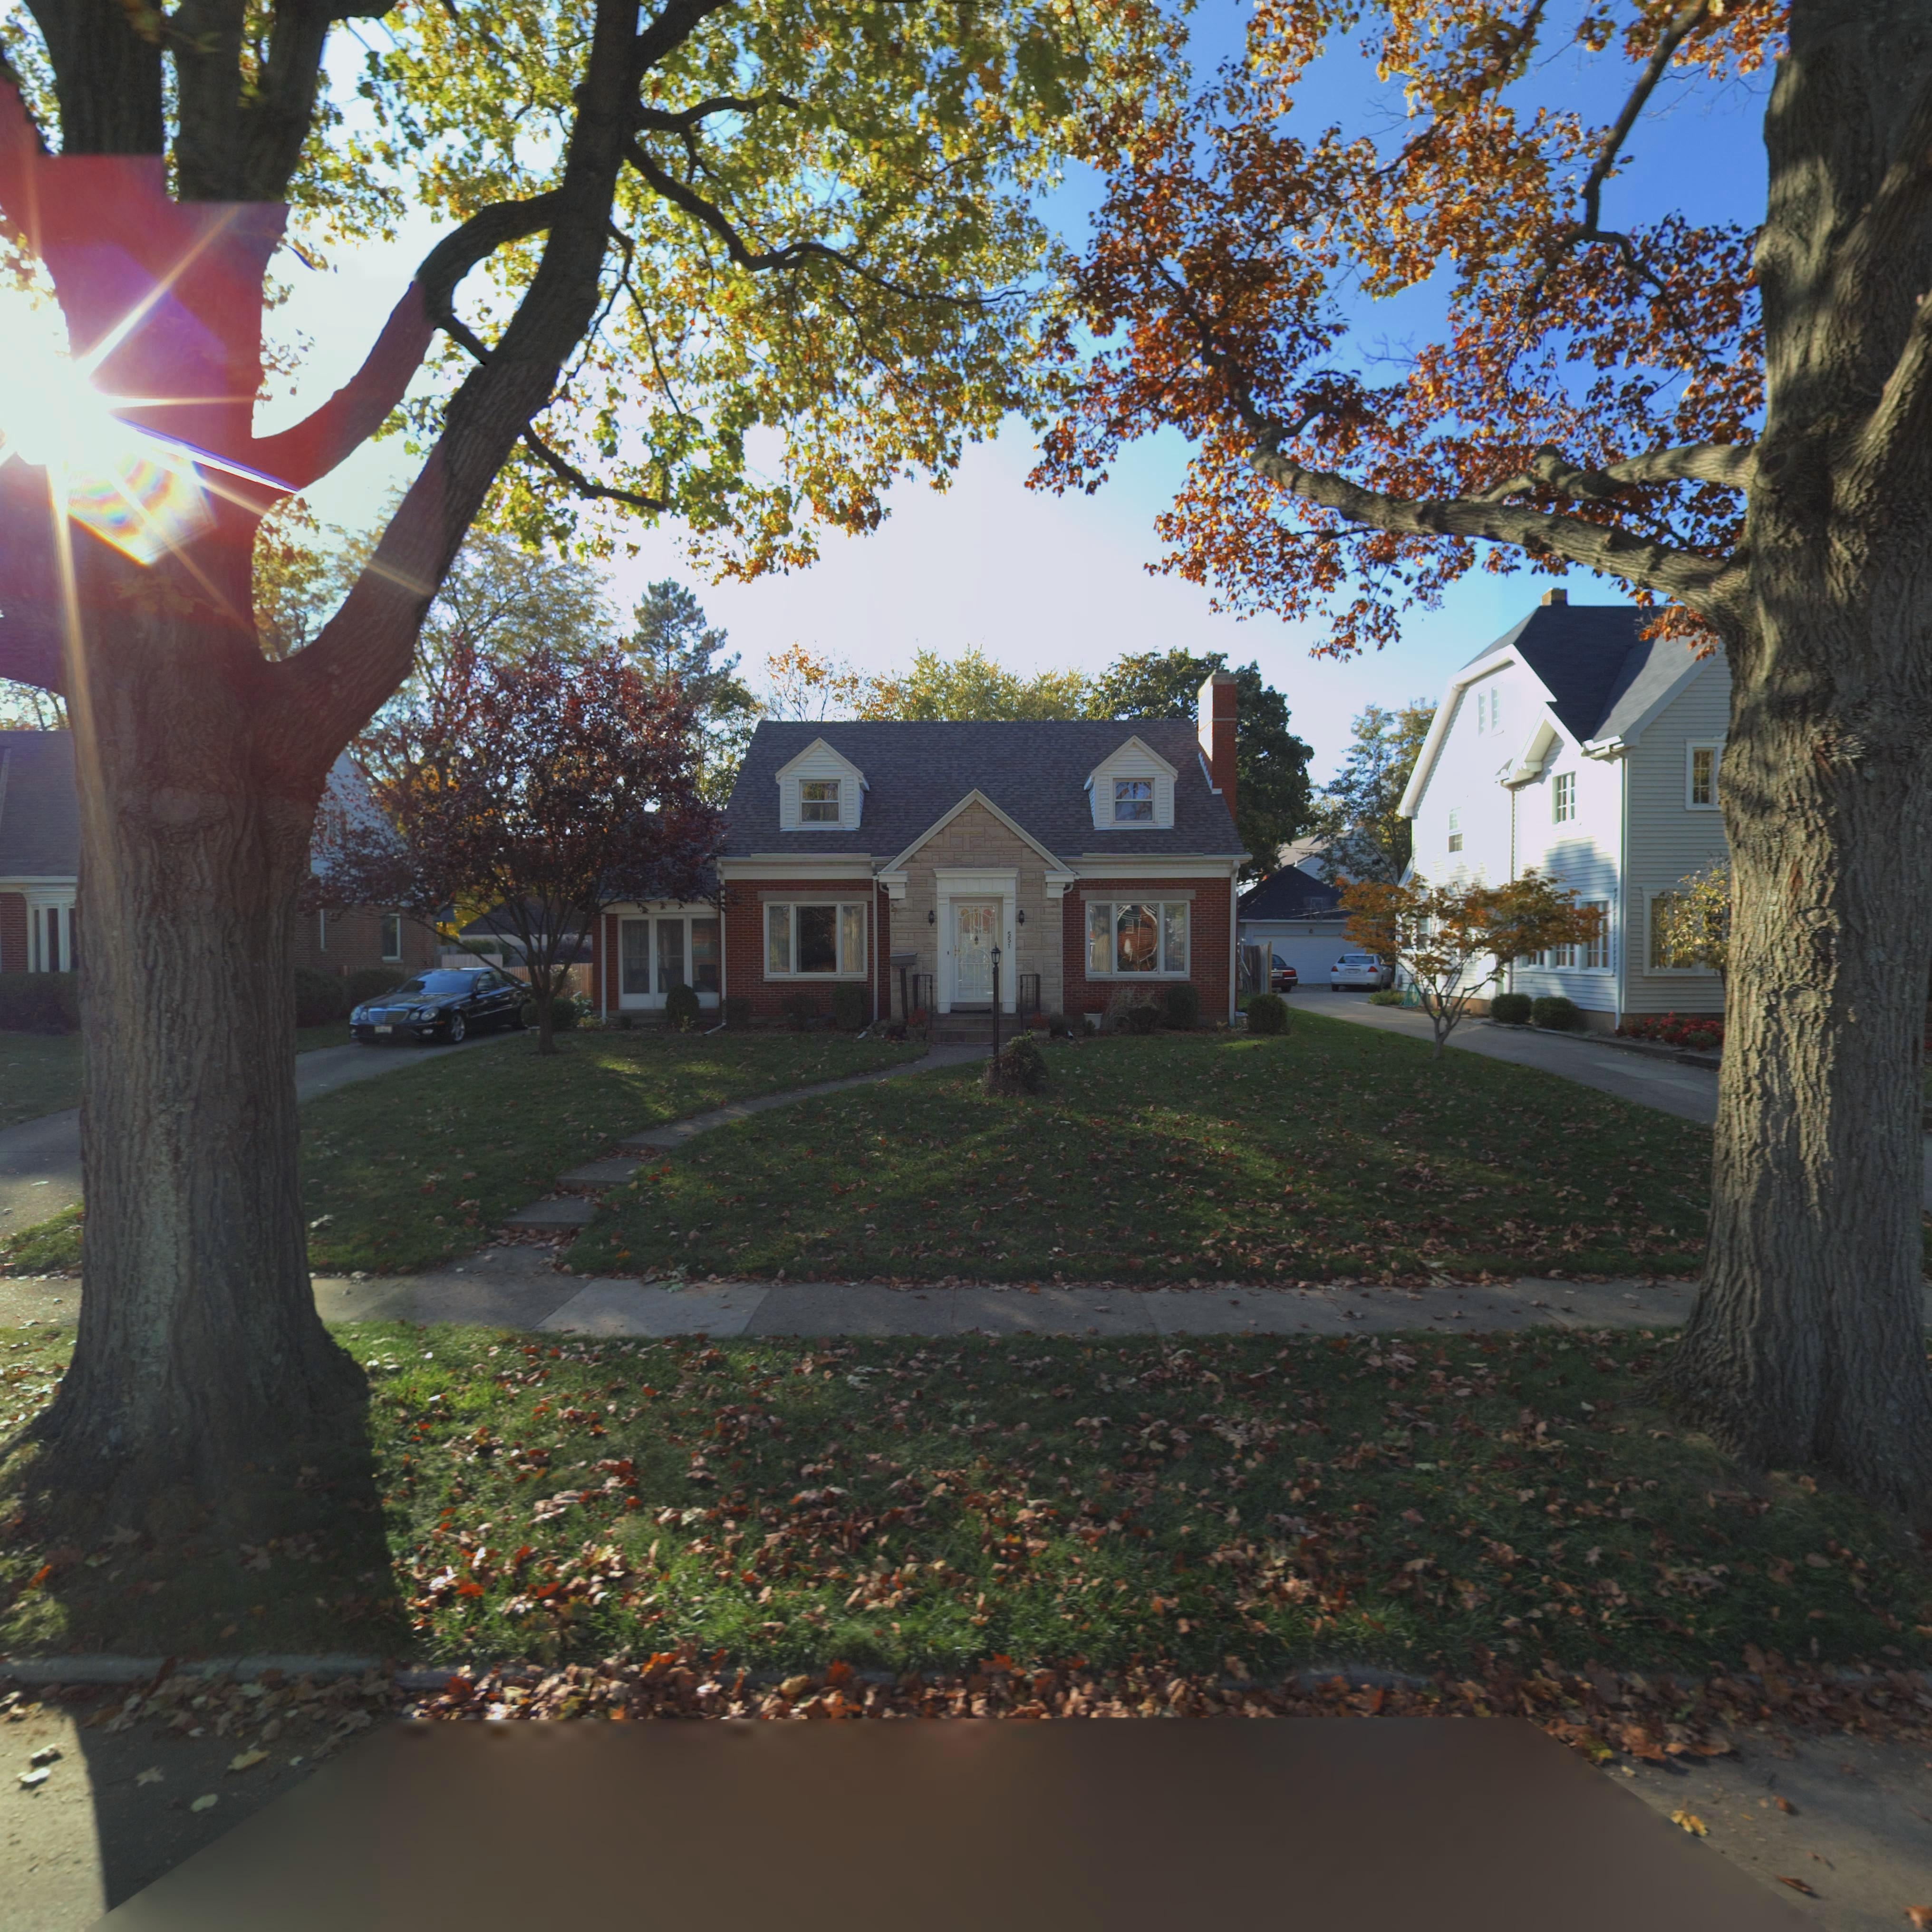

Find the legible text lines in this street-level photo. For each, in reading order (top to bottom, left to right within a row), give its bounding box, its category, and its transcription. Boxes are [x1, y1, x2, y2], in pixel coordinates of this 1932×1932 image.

[1006, 930, 1012, 949] StreetNumber: 551